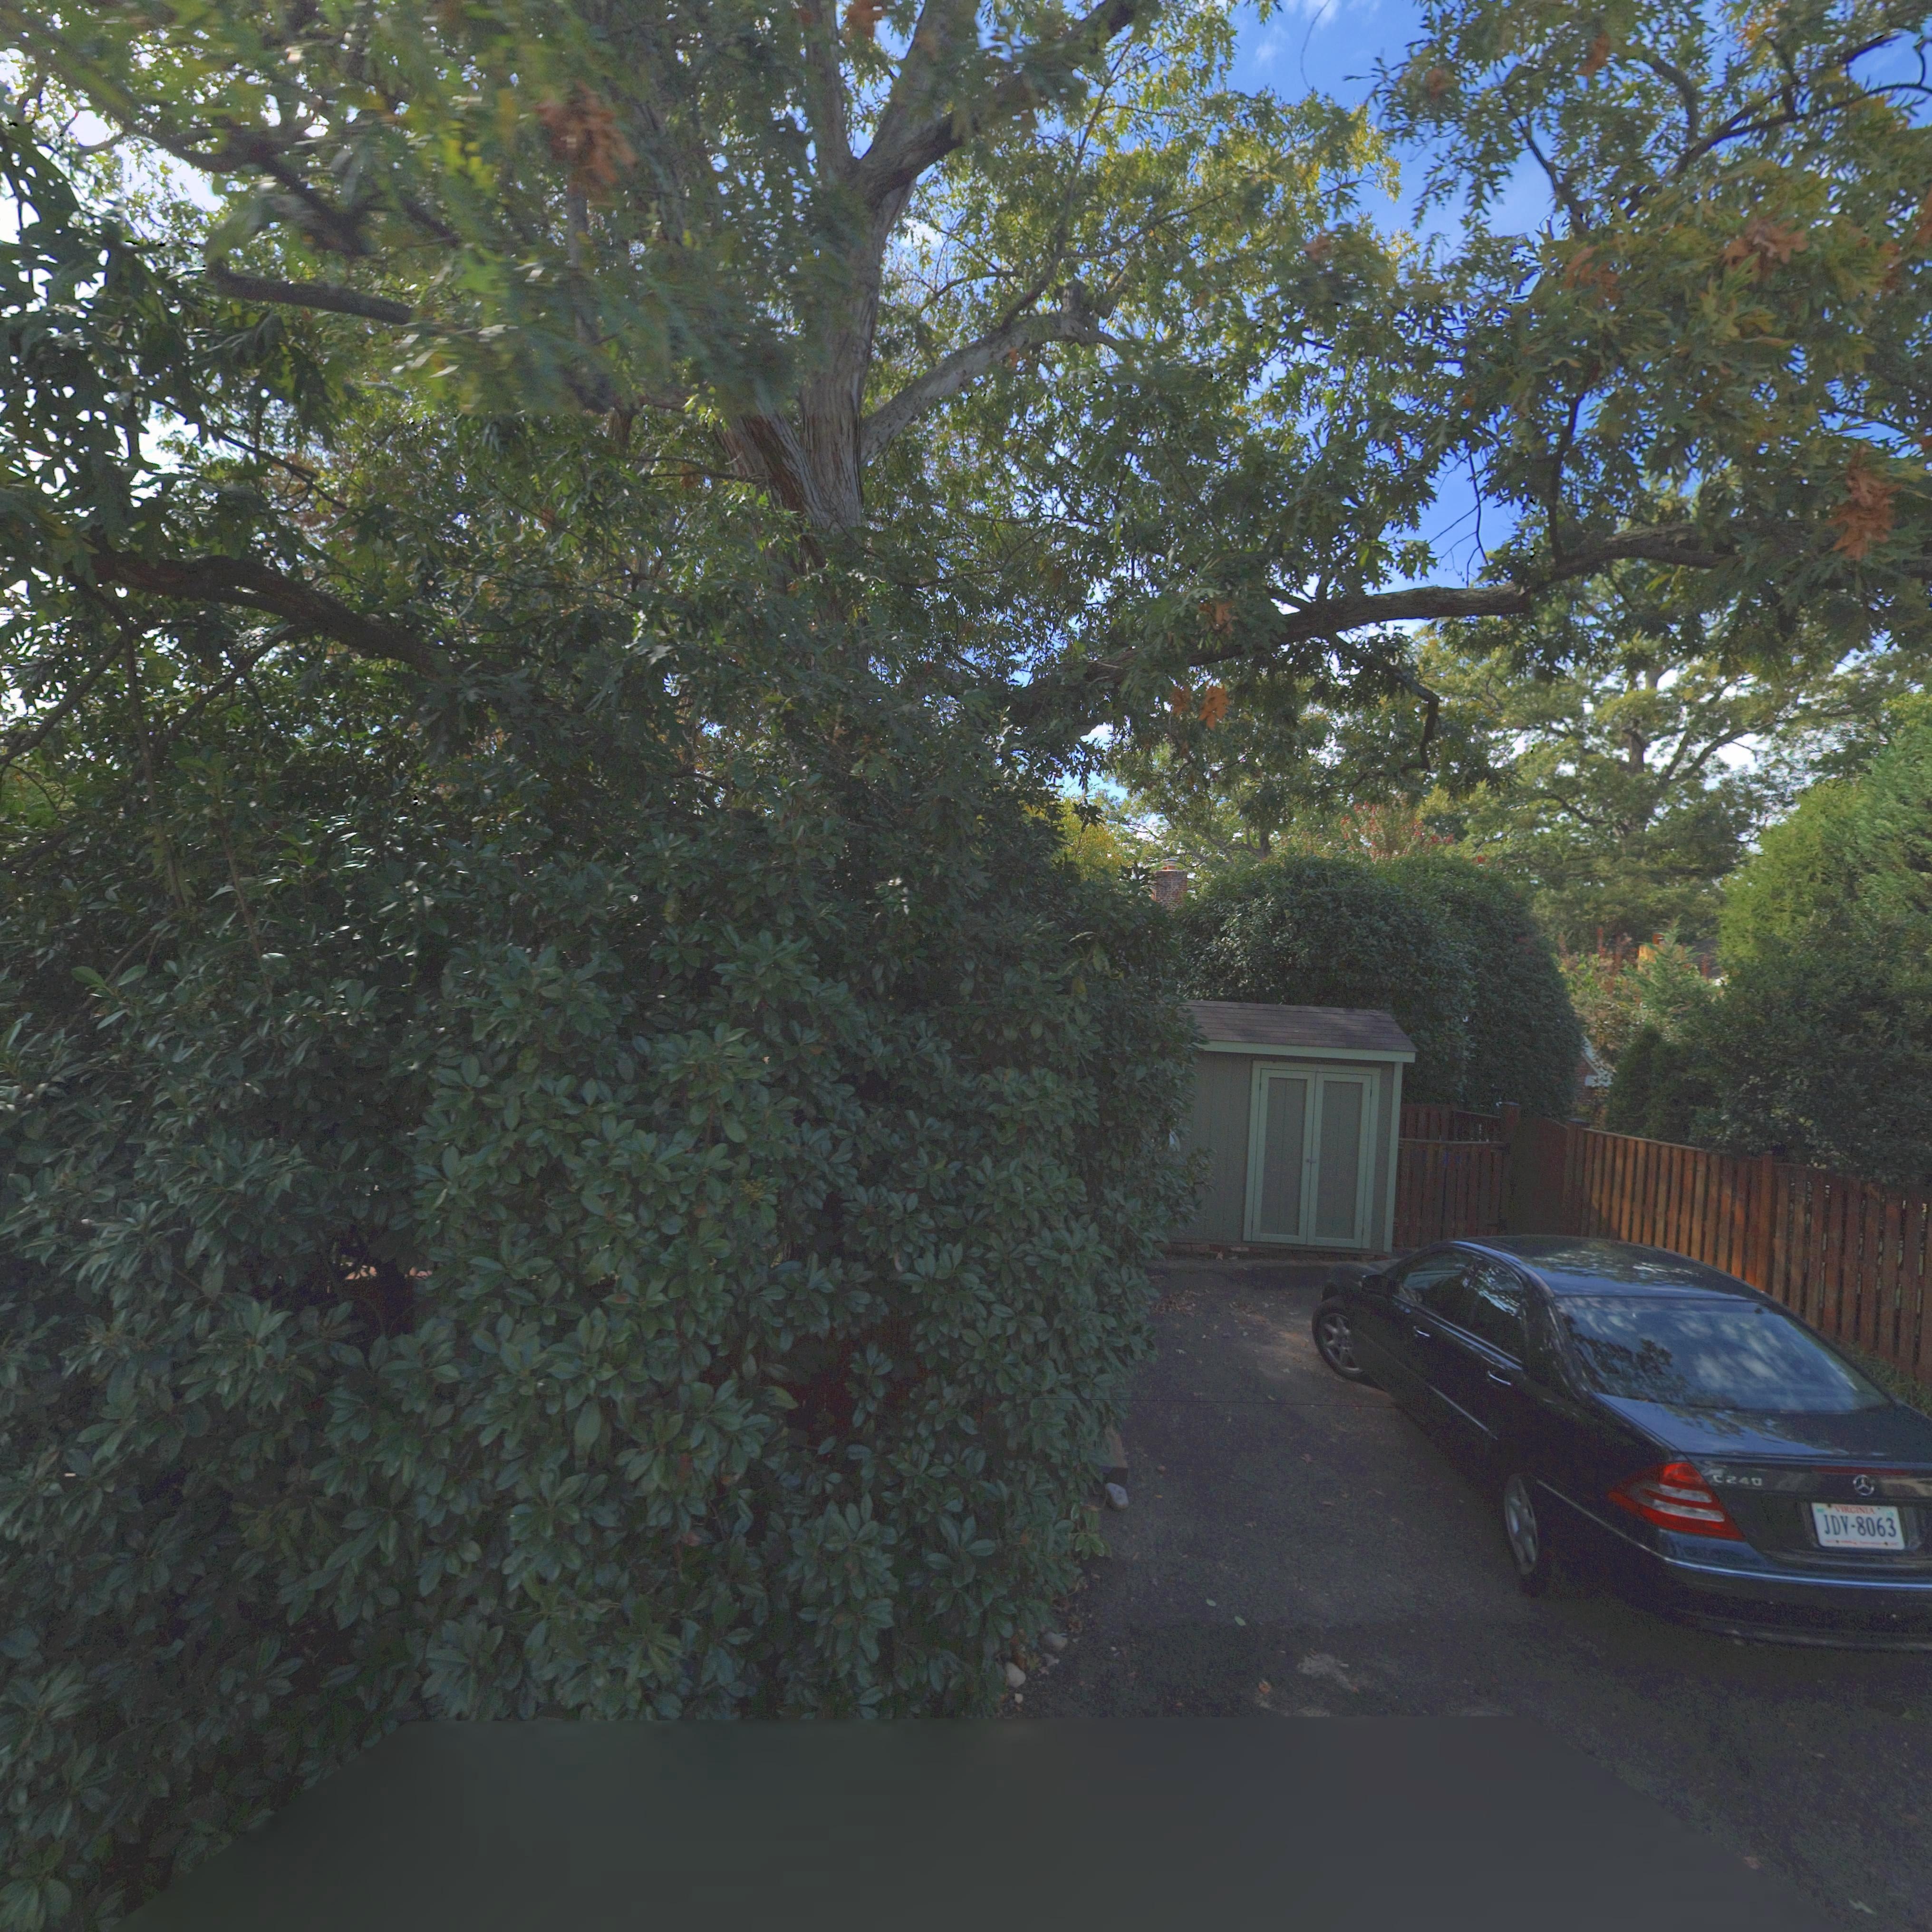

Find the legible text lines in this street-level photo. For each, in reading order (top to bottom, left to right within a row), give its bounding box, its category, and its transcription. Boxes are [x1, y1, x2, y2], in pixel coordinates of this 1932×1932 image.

[1711, 1473, 1765, 1488] None: C240
[1831, 1504, 1877, 1516] None: VIRGINIA
[1823, 1512, 1899, 1540] None: JDV-8063